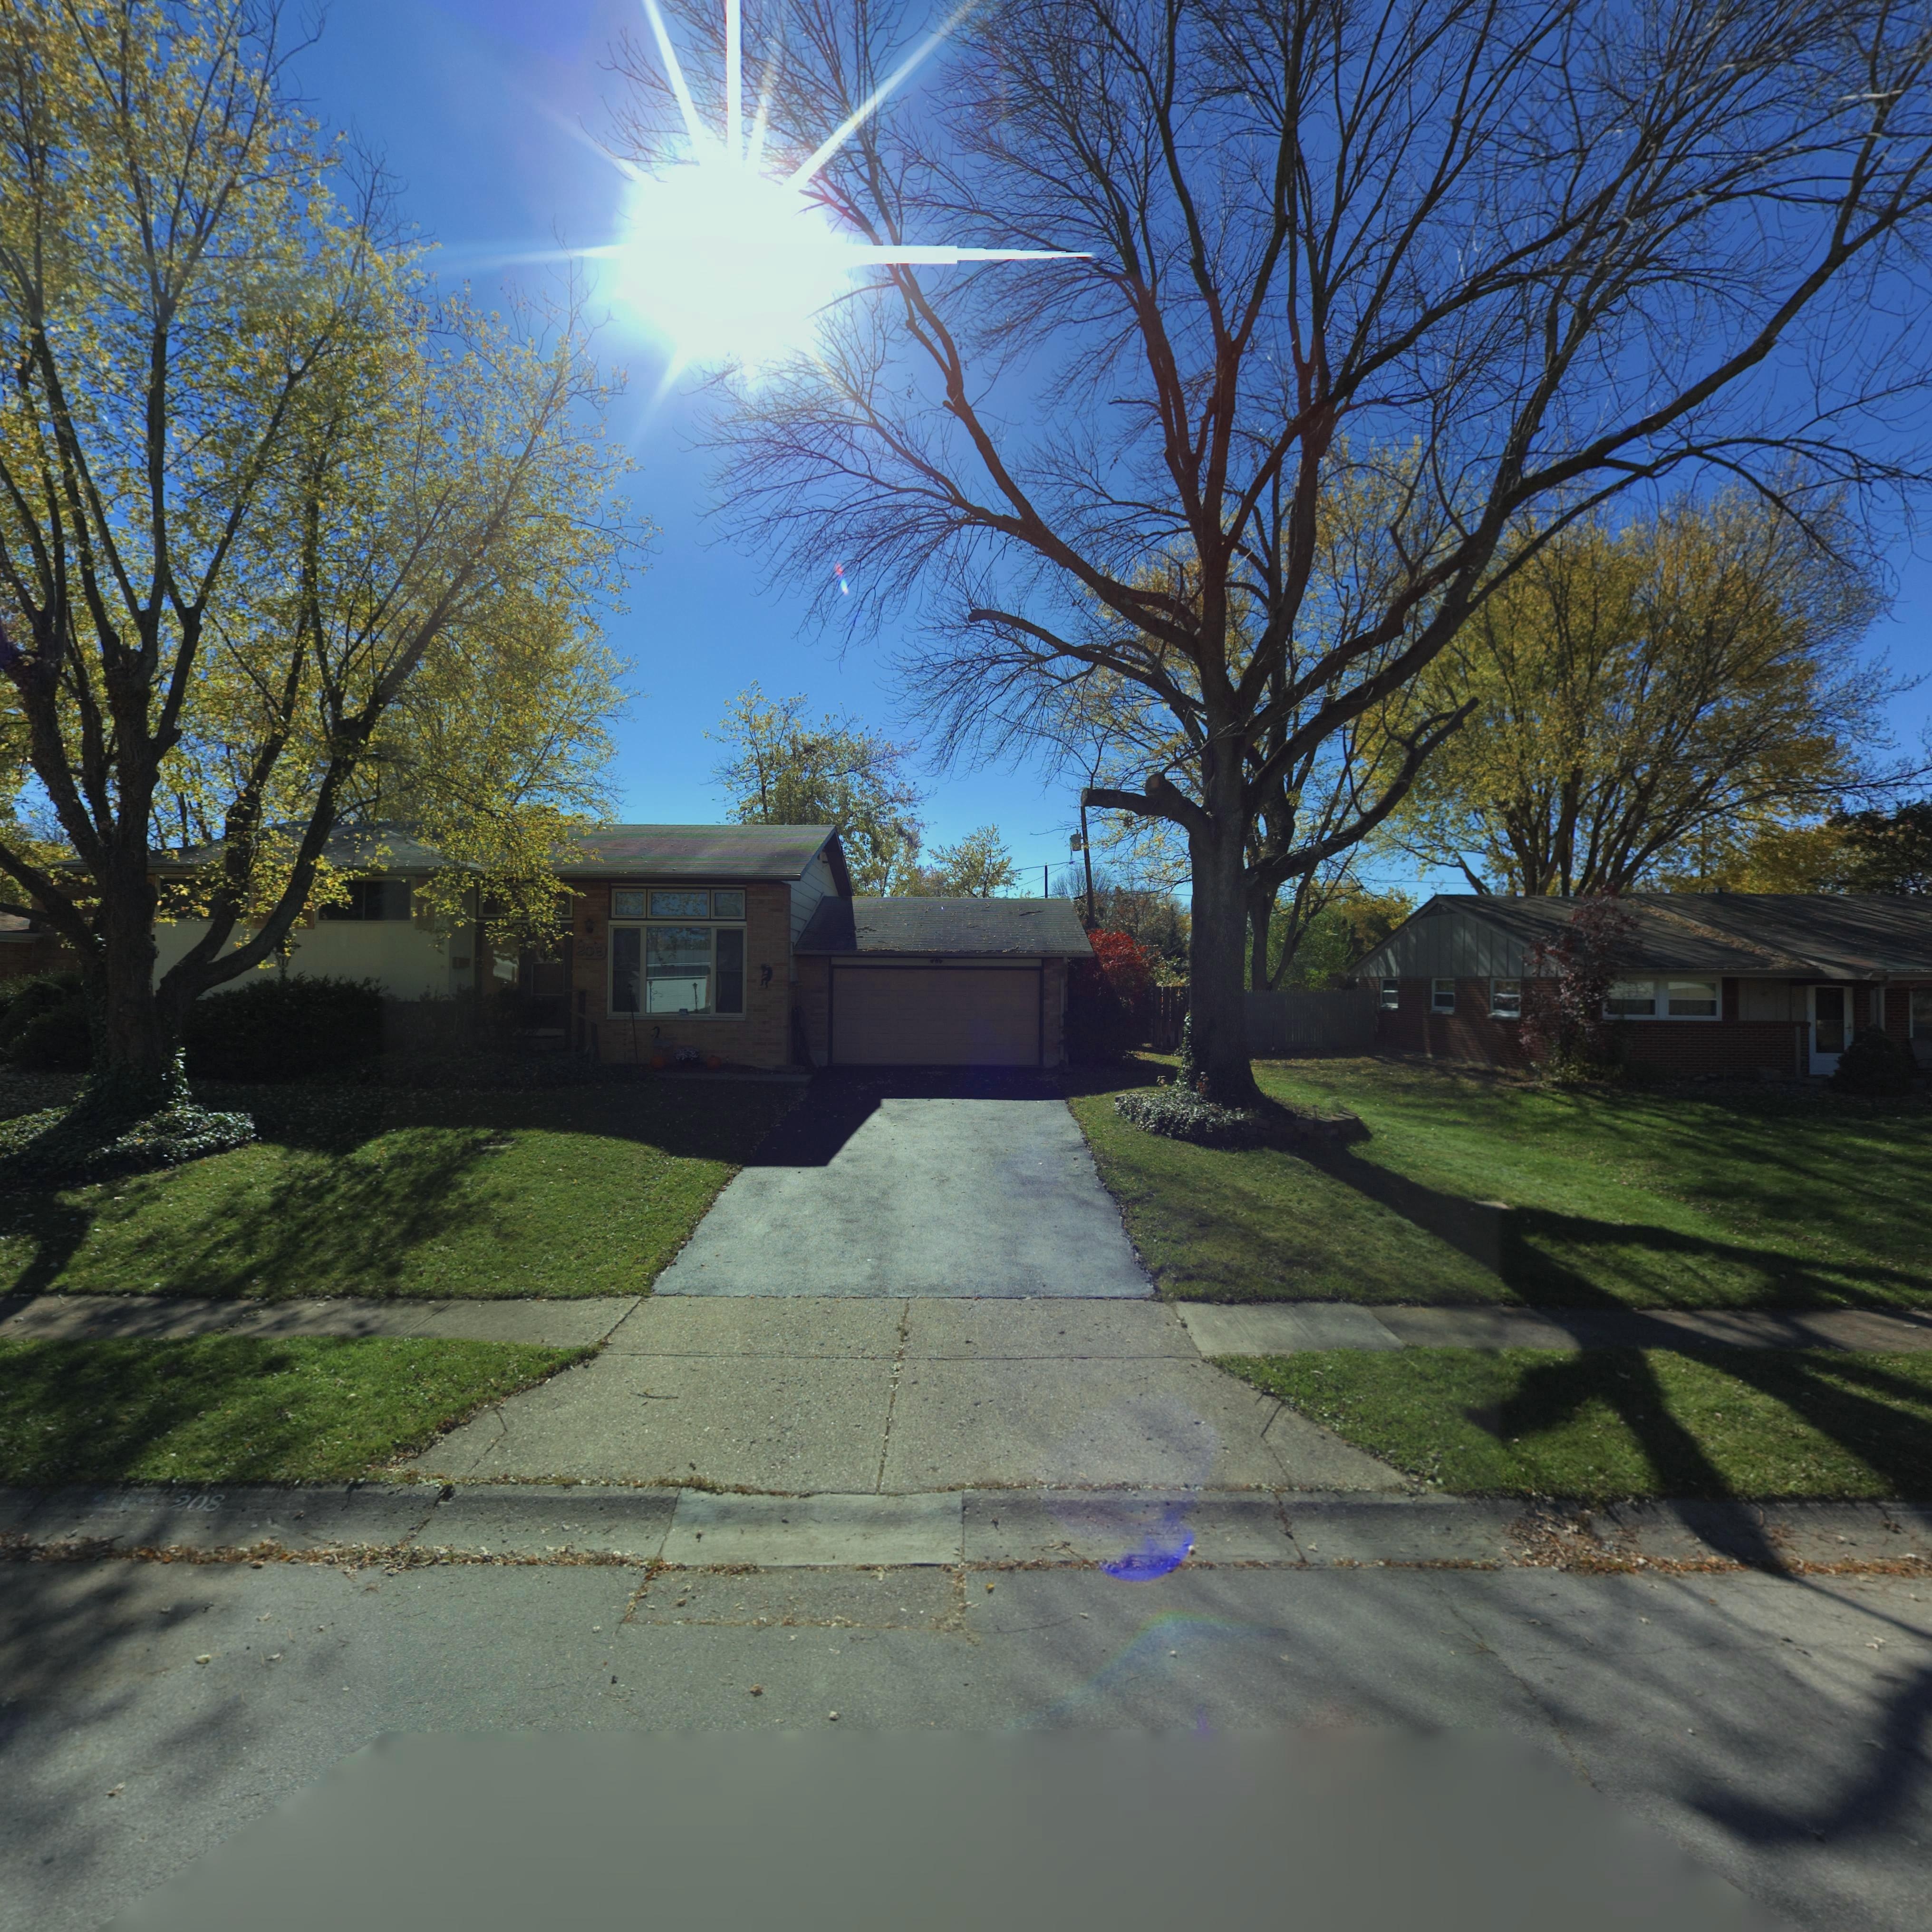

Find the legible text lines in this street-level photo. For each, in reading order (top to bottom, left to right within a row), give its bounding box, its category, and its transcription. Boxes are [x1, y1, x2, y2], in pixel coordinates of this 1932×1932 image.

[574, 945, 605, 957] StreetNumber: 208
[165, 1493, 228, 1513] StreetNumber: 208